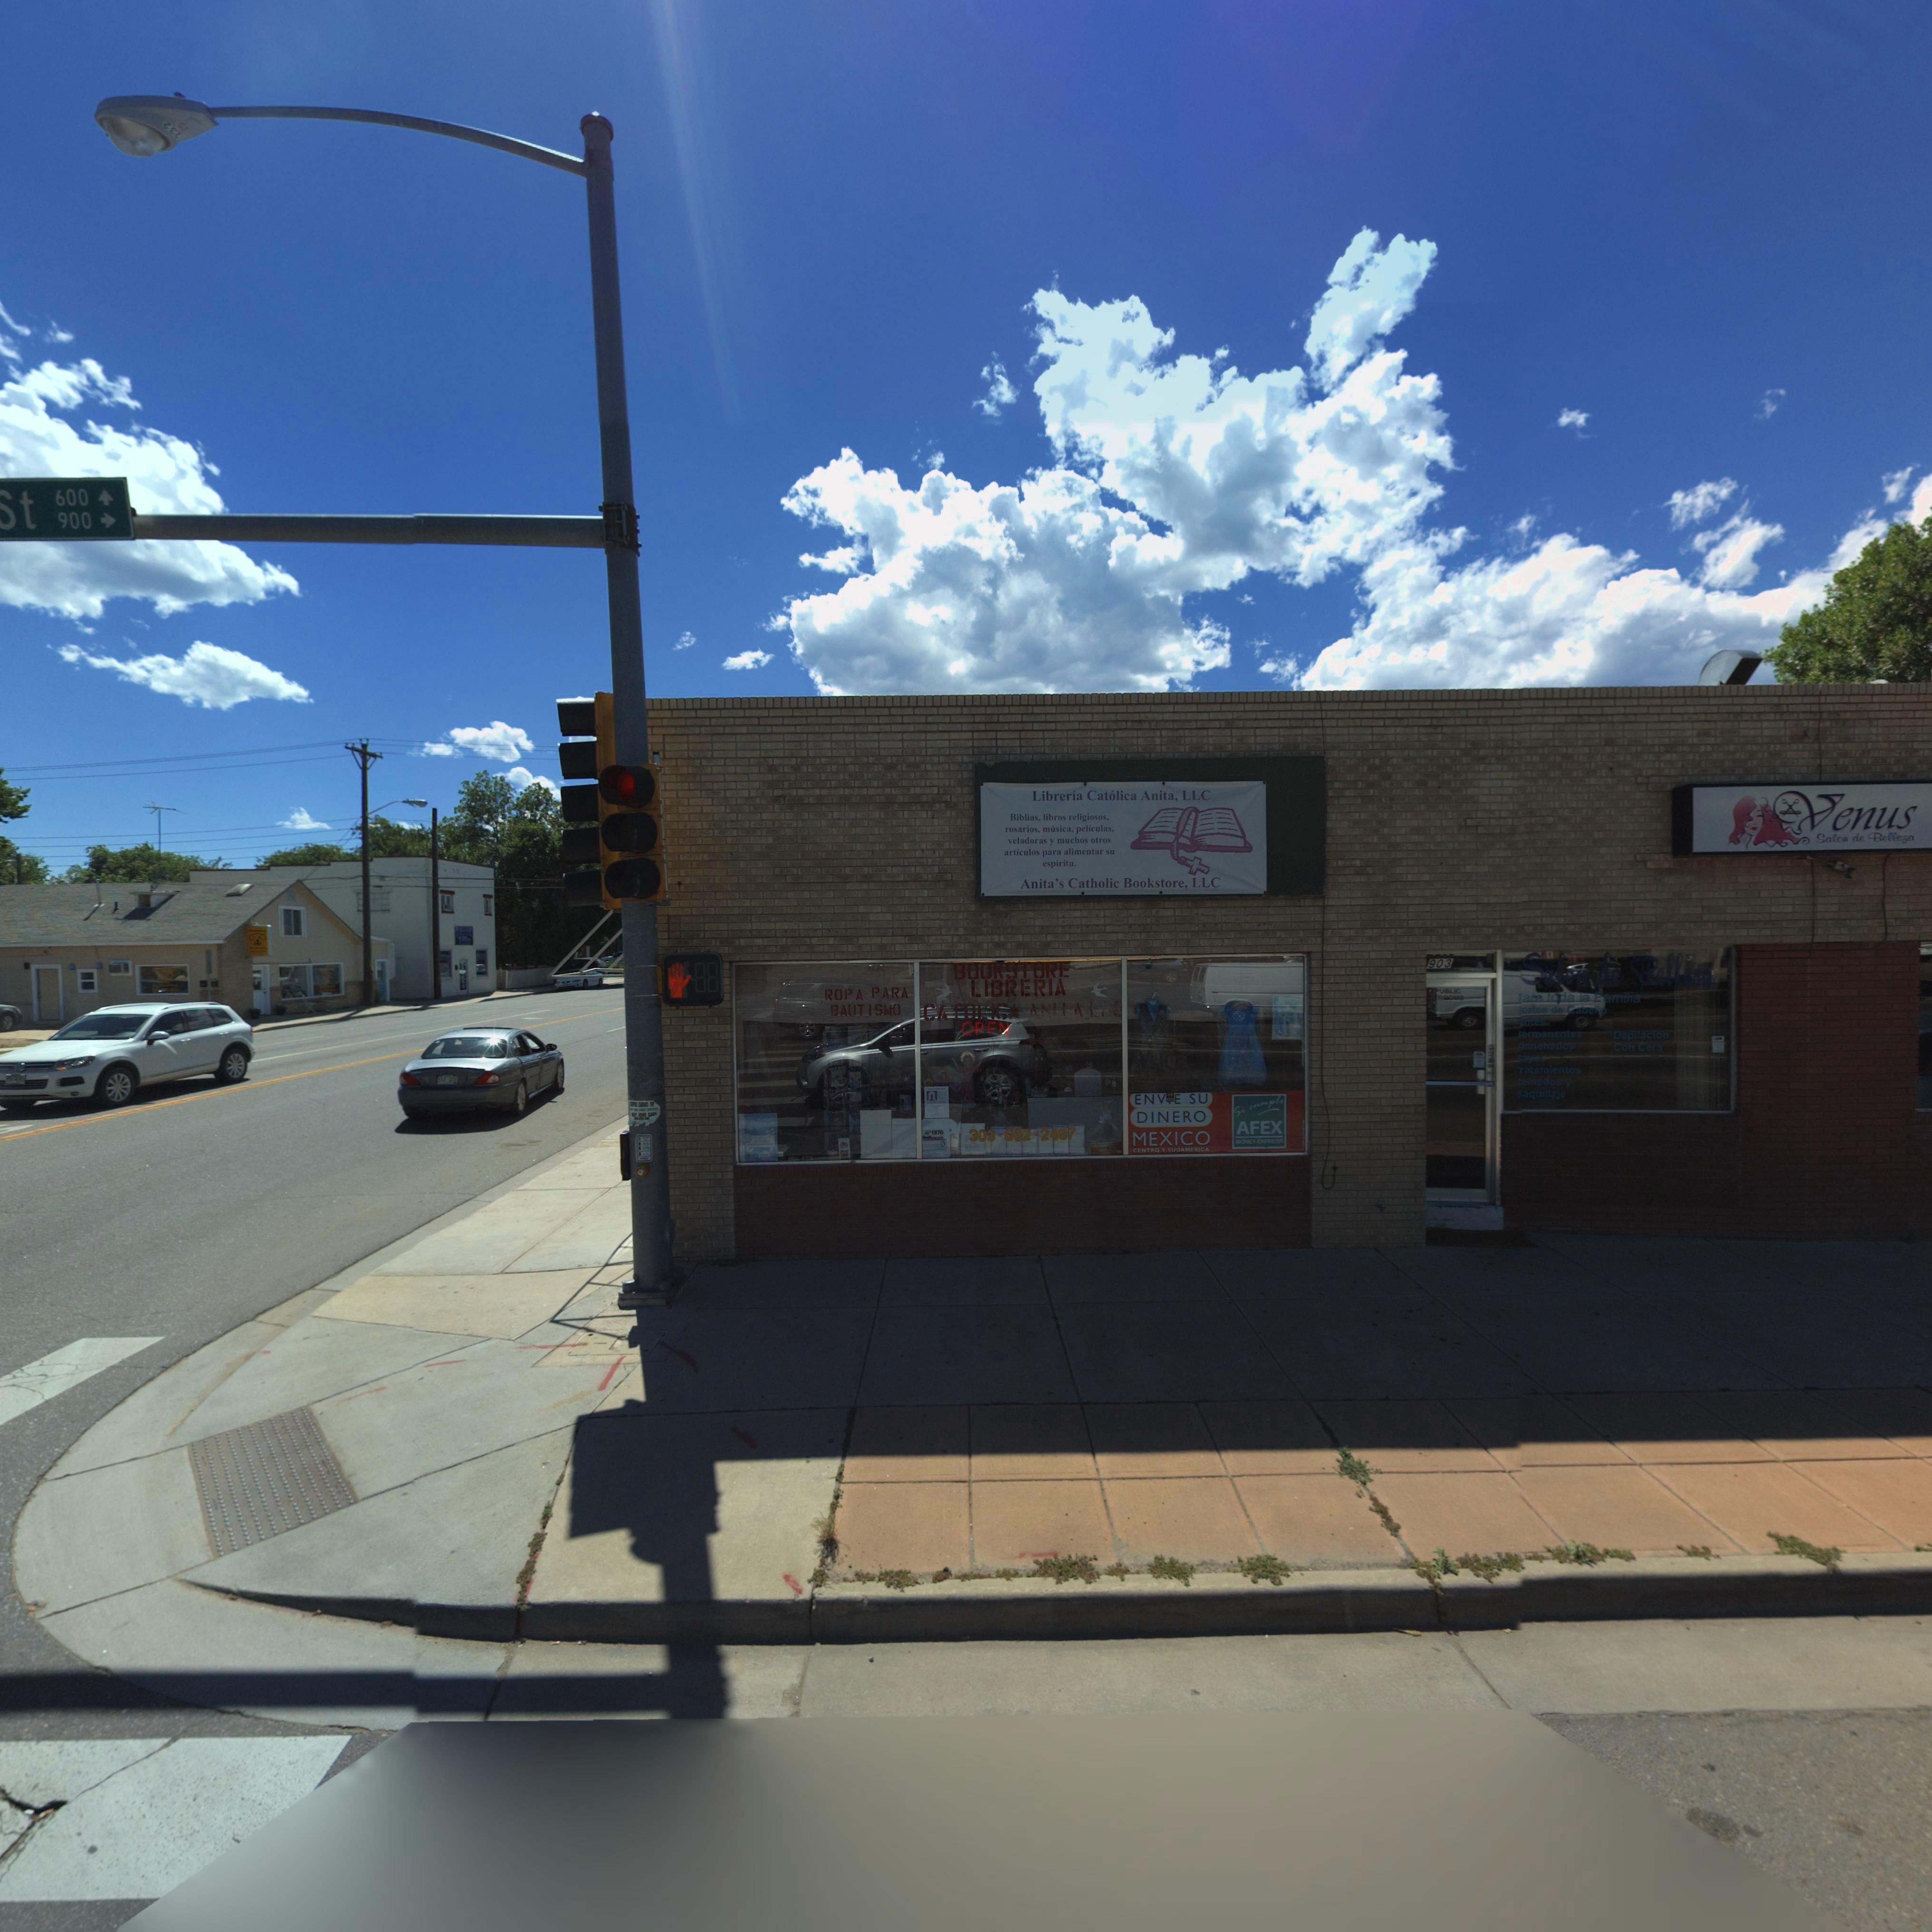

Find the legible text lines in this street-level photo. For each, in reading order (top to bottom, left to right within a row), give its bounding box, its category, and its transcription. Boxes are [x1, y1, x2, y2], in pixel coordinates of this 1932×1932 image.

[55, 487, 89, 507] StreetNumberRange: 600
[18, 488, 38, 530] StreetName: t
[56, 511, 117, 530] StreetNumberRange: 900->
[1031, 789, 1211, 803] BusinessName: Libreria Cat*lica Anita, LLC
[1796, 789, 1919, 832] BusinessName: Venus
[1815, 831, 1915, 845] BusinessName: Salon de Belleza
[1019, 876, 1221, 889] BusinessName: Anita's Catholic Bookstore, LLC
[1428, 958, 1452, 969] StreetNumber: 903
[970, 977, 1067, 998] BusinessName: LIBRERIA
[923, 999, 1122, 1022] BusinessName: CATOLICA ANITA L*C